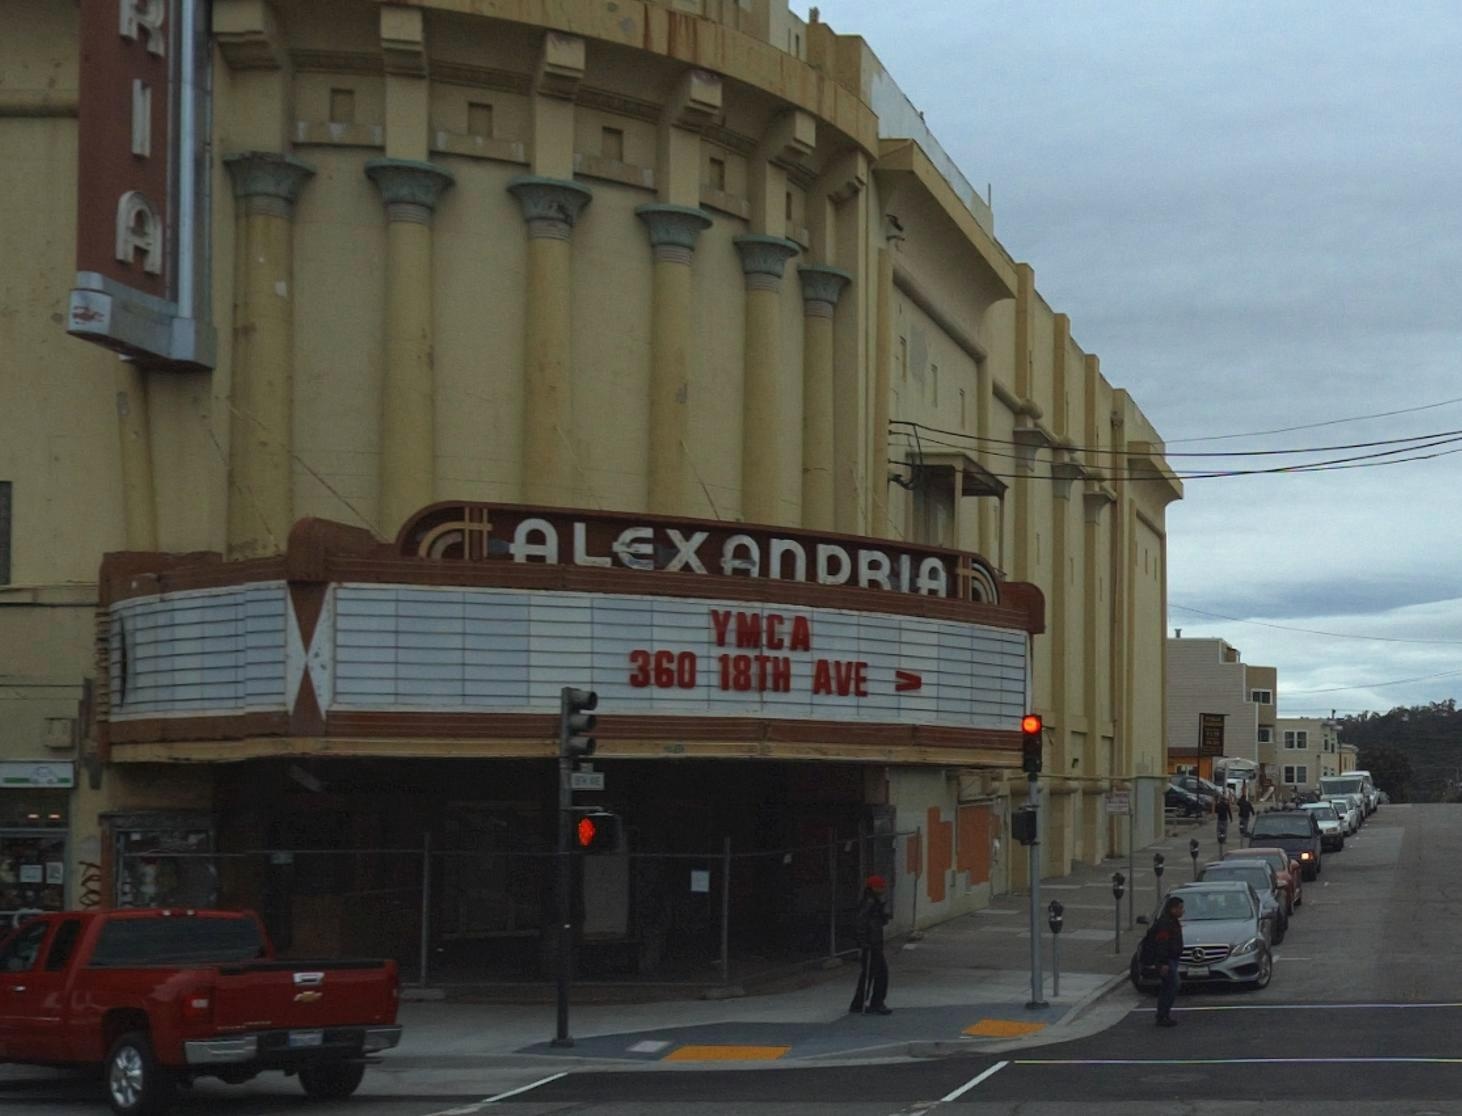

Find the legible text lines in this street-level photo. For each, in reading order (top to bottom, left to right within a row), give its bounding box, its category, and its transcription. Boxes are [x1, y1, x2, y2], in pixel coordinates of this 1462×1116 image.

[106, 73, 170, 281] BusinessName: IA
[505, 513, 950, 601] BusinessName: ALEXANDRIA
[707, 606, 814, 655] None: YMCA
[627, 647, 699, 692] StreetNumber: 360
[715, 650, 872, 701] StreetName: 18TH AVE